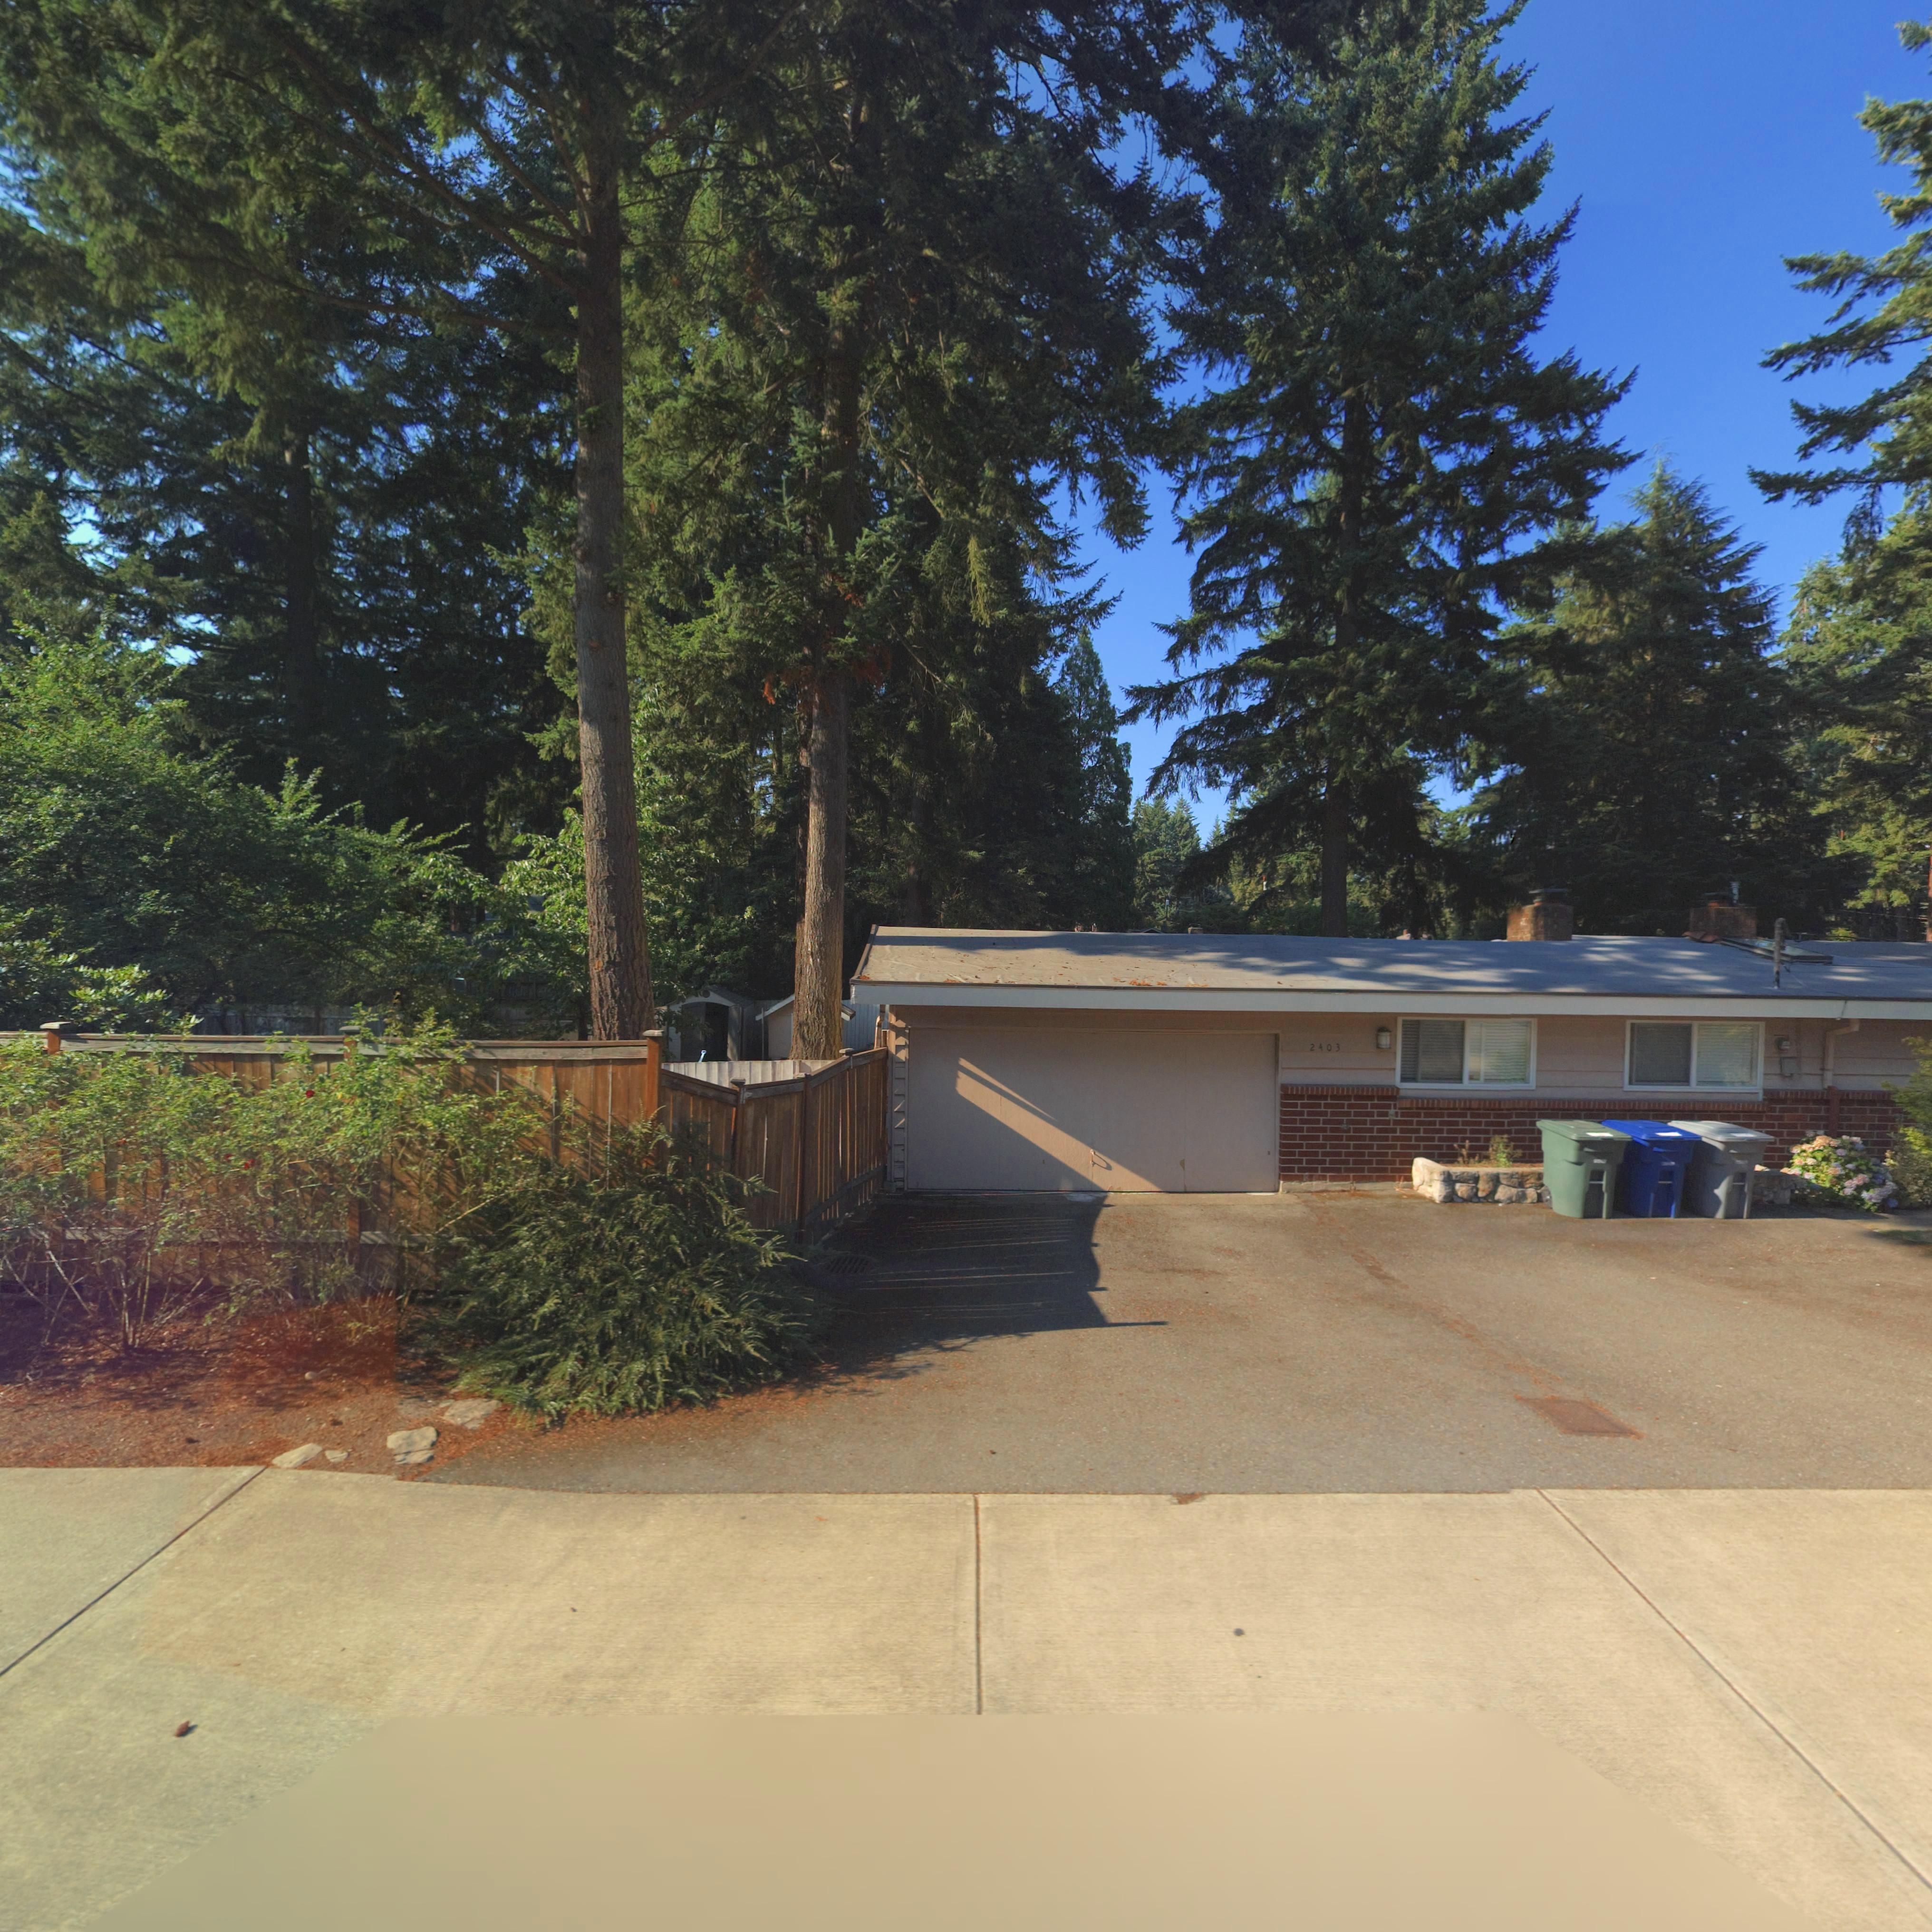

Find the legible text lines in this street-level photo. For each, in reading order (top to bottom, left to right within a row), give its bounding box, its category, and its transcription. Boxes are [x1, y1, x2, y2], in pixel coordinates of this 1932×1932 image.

[1310, 1042, 1341, 1052] StreetNumber: 2403